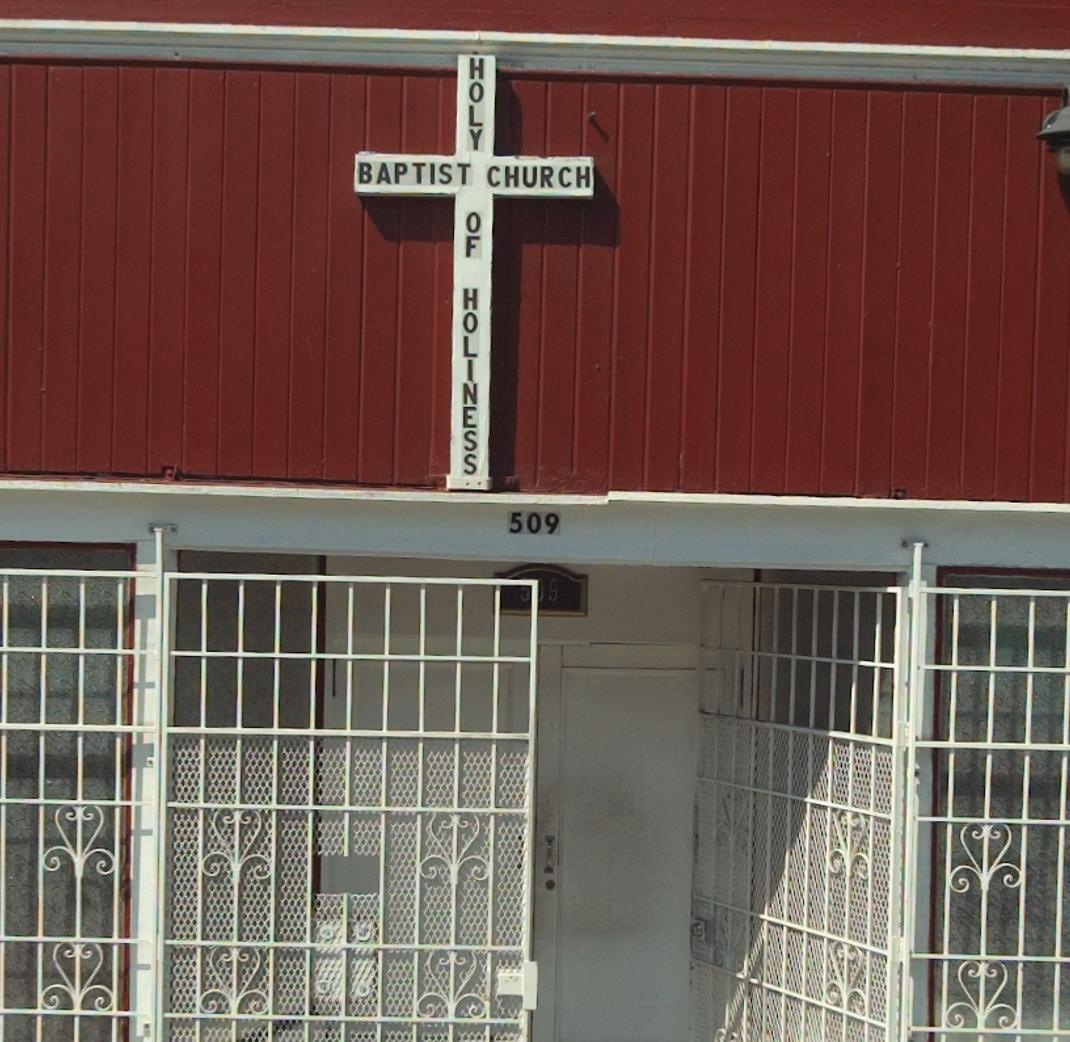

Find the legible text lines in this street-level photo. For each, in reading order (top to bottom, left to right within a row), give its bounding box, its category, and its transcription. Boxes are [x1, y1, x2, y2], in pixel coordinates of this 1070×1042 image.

[354, 159, 592, 192] BusinessName: BAPTIST CHURCH
[459, 53, 487, 480] BusinessName: HOLY OF HOLINESS
[509, 509, 561, 536] StreetNumber: 509
[546, 577, 559, 602] StreetNumber: 9